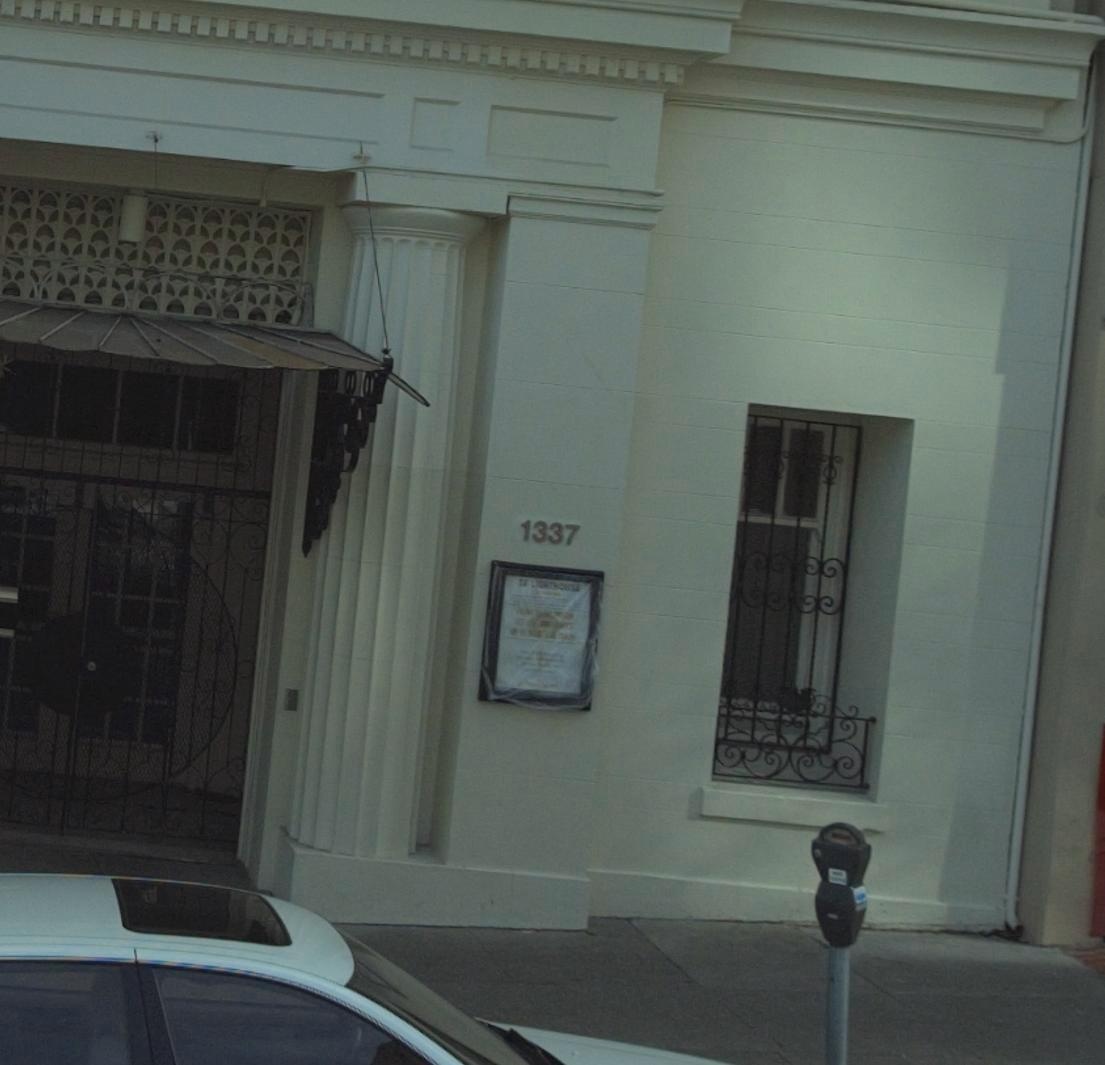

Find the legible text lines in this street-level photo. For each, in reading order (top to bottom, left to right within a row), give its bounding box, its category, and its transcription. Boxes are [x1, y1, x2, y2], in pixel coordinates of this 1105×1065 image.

[513, 516, 586, 550] StreetNumber: 1337